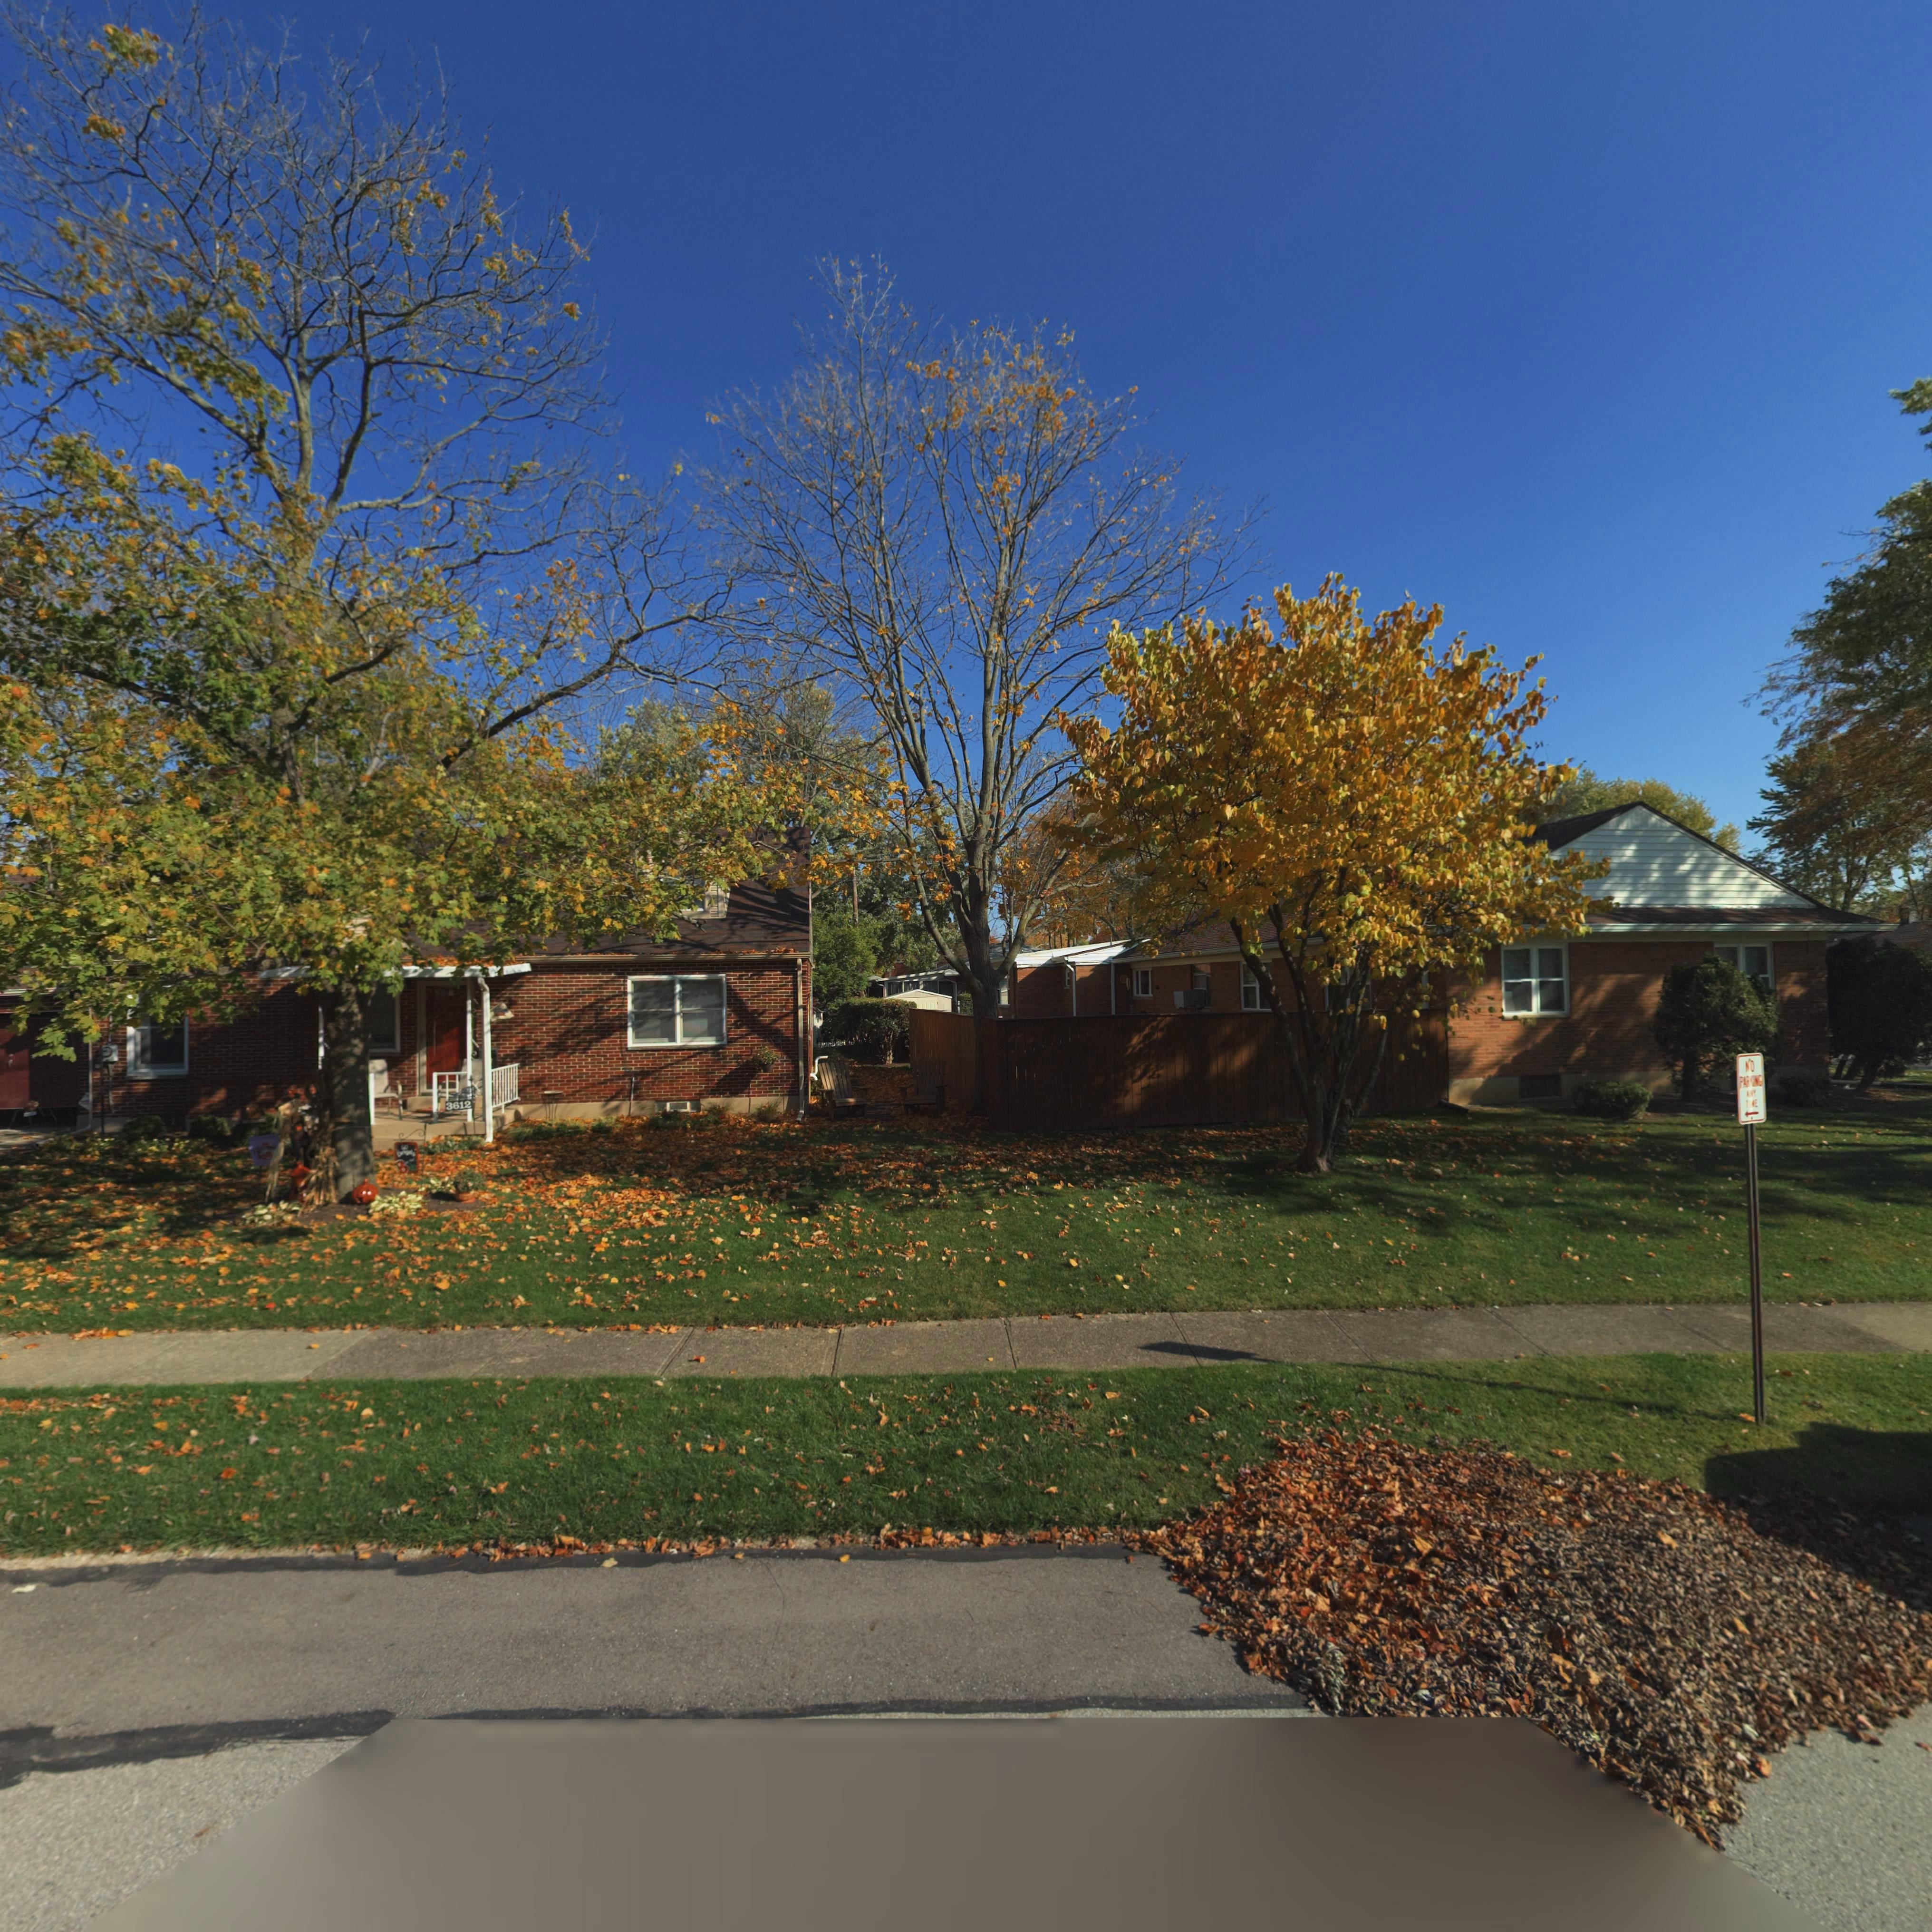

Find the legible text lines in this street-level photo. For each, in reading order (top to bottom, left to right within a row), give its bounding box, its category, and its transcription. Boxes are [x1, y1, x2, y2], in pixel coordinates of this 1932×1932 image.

[1745, 1060, 1755, 1073] None: NO
[1739, 1073, 1764, 1089] None: PARKING
[1745, 1088, 1758, 1099] None: ANY
[445, 1100, 472, 1111] StreetNumber: 3612
[1745, 1099, 1758, 1109] None: T**E
[392, 1159, 410, 1176] None: B